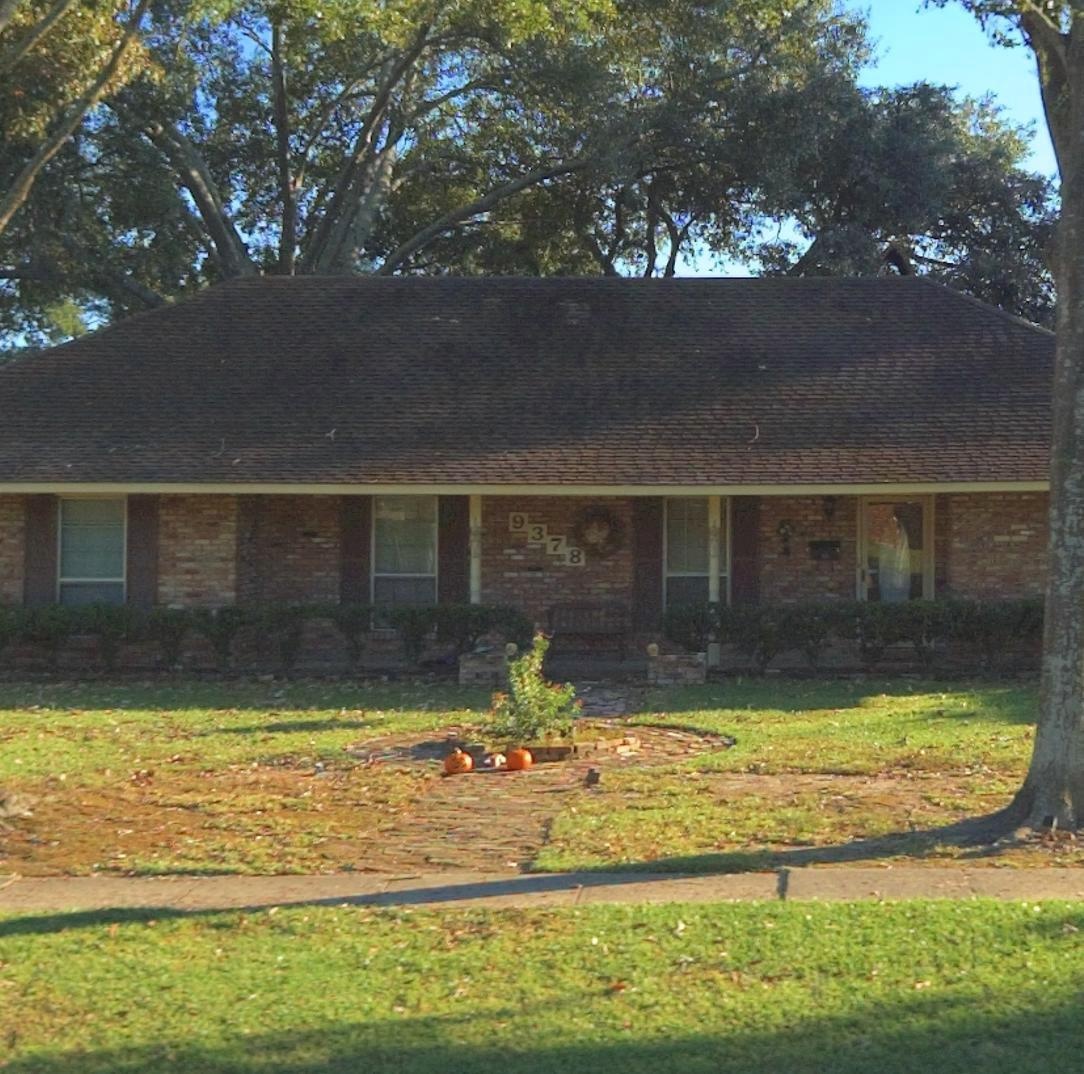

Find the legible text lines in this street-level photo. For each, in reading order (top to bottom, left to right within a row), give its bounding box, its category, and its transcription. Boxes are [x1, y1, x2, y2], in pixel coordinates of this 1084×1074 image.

[511, 513, 582, 565] StreetNumber: 9378